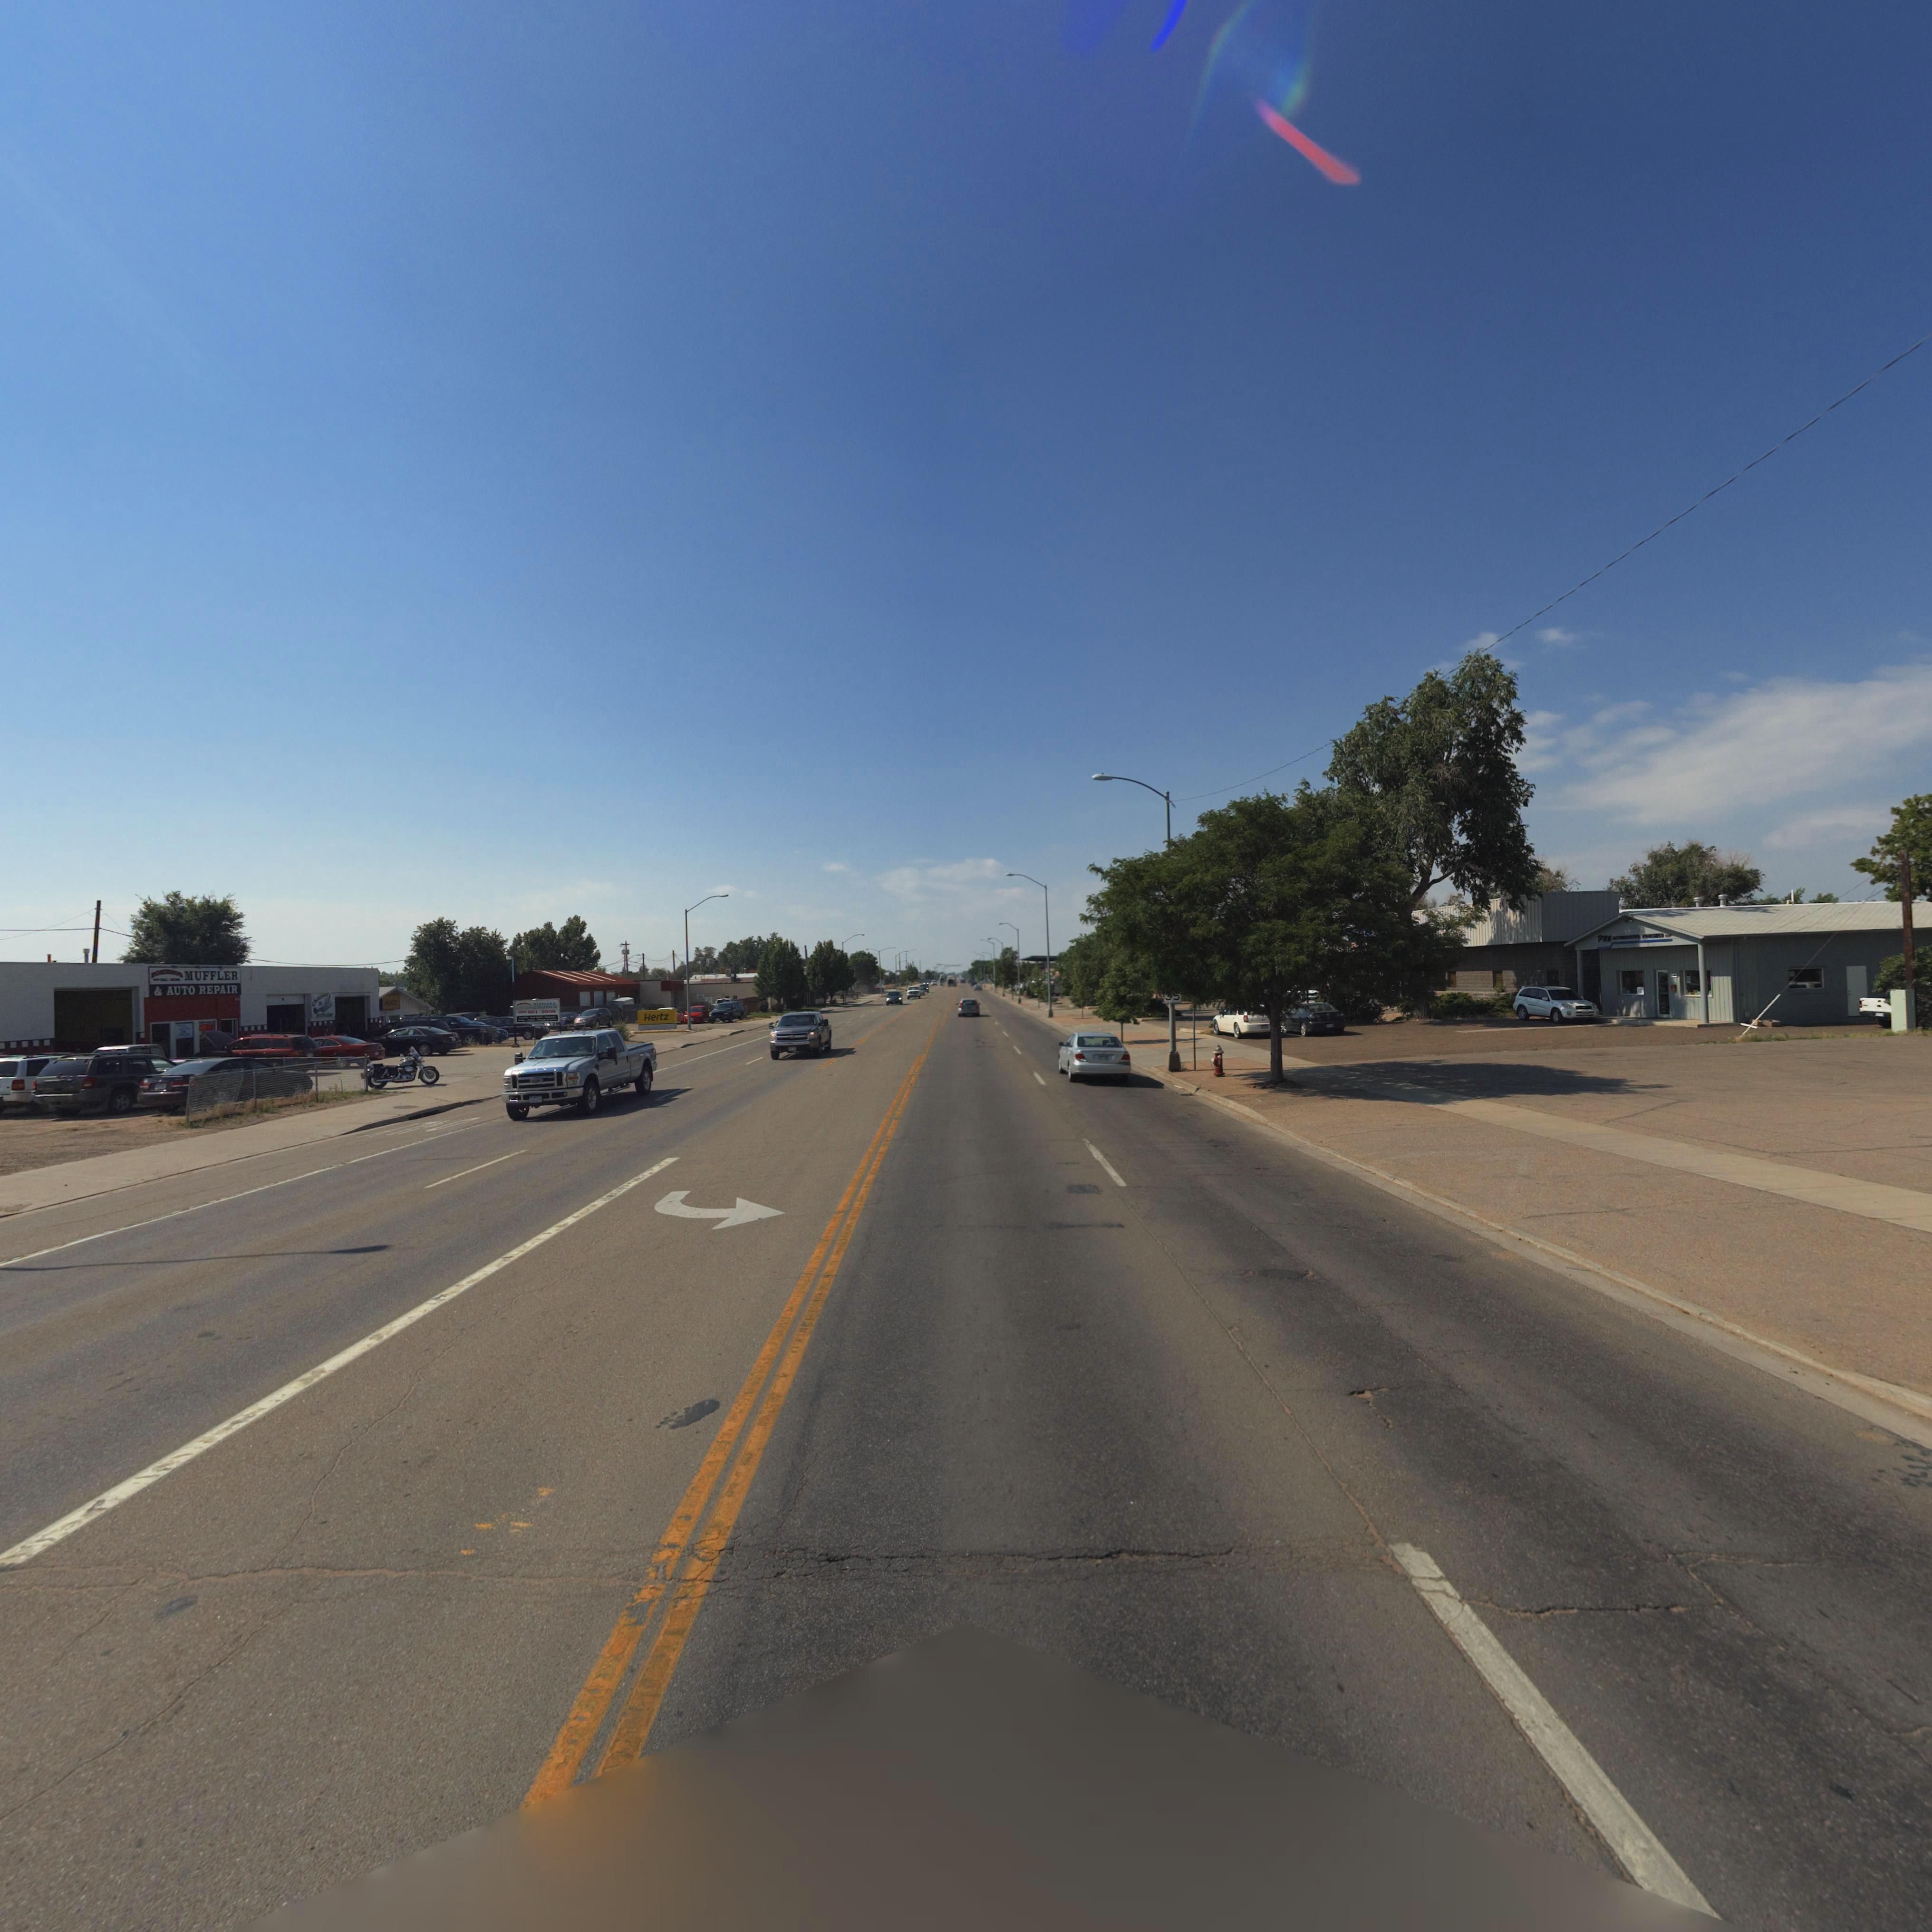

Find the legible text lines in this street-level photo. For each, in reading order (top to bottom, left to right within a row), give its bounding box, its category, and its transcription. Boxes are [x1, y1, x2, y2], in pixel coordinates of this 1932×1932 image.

[1596, 934, 1612, 942] BusinessName: PRO
[184, 970, 238, 981] BusinessName: MUFFLER
[643, 1013, 669, 1021] BusinessName: Hertz